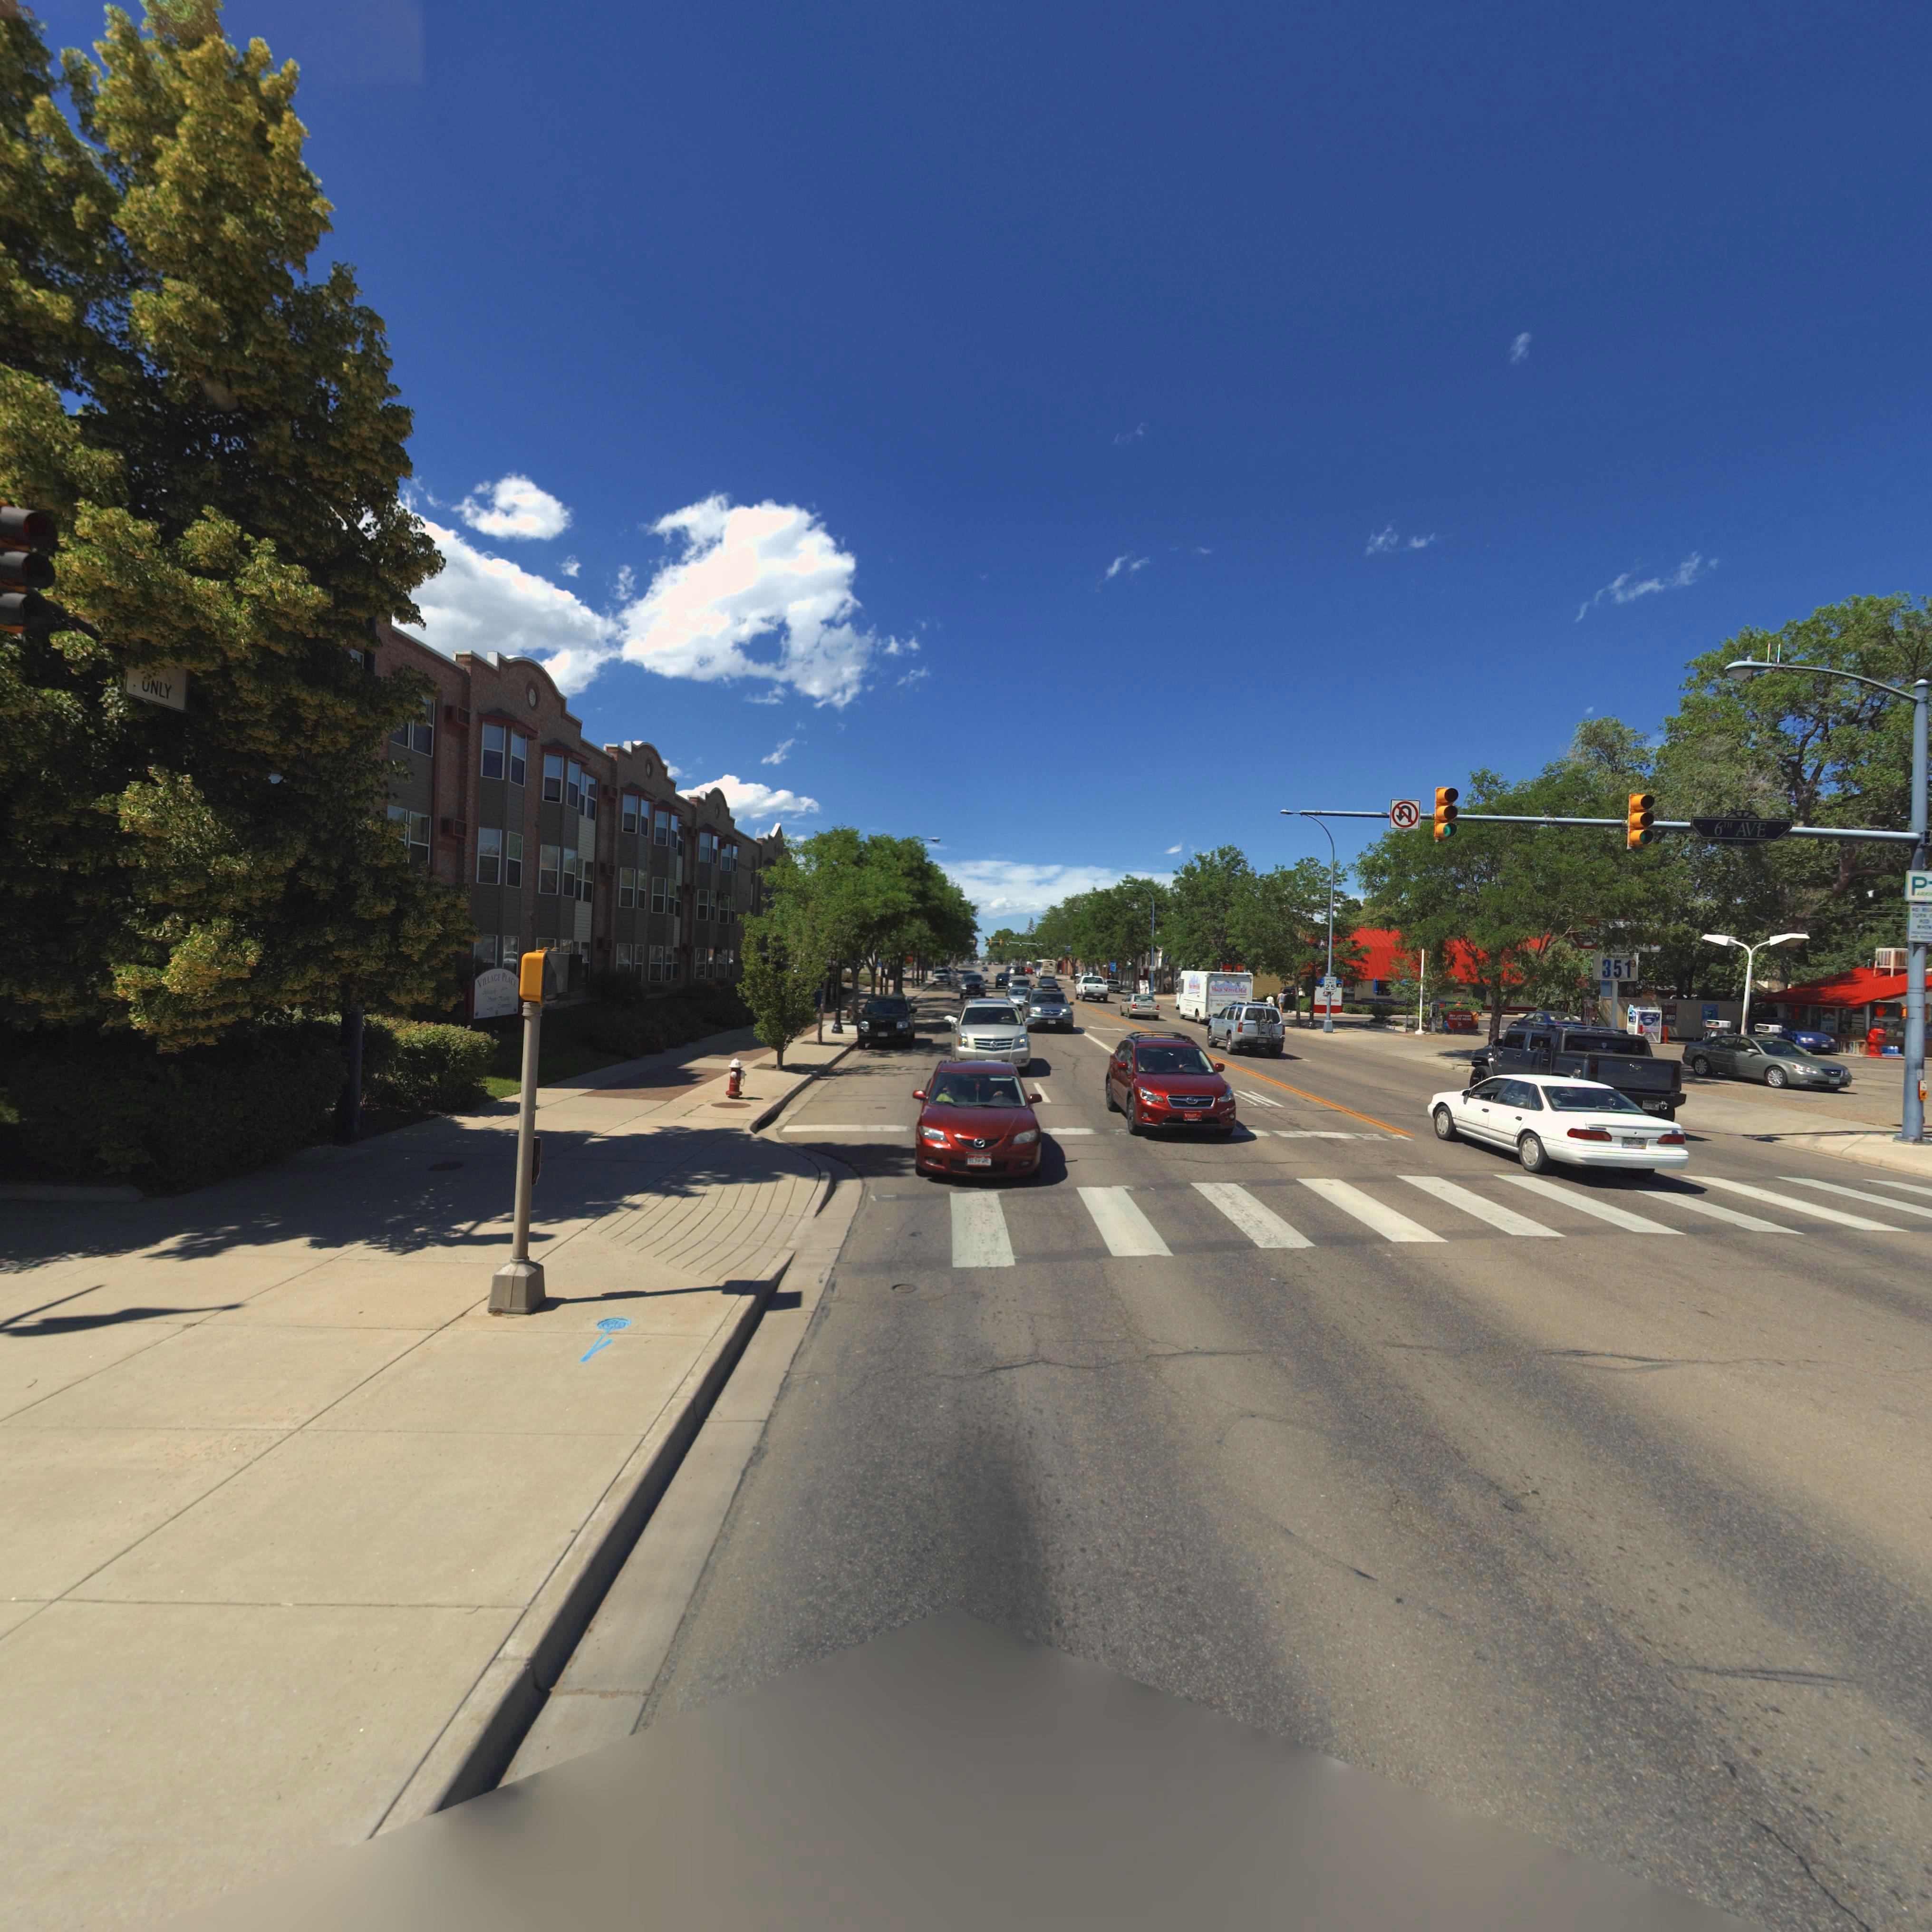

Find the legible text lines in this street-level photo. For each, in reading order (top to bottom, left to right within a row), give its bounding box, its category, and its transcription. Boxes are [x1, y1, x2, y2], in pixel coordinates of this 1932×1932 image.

[1714, 821, 1767, 837] StreetName: 6TH AVE
[477, 972, 517, 988] BusinessName: VILLAGE PLACE